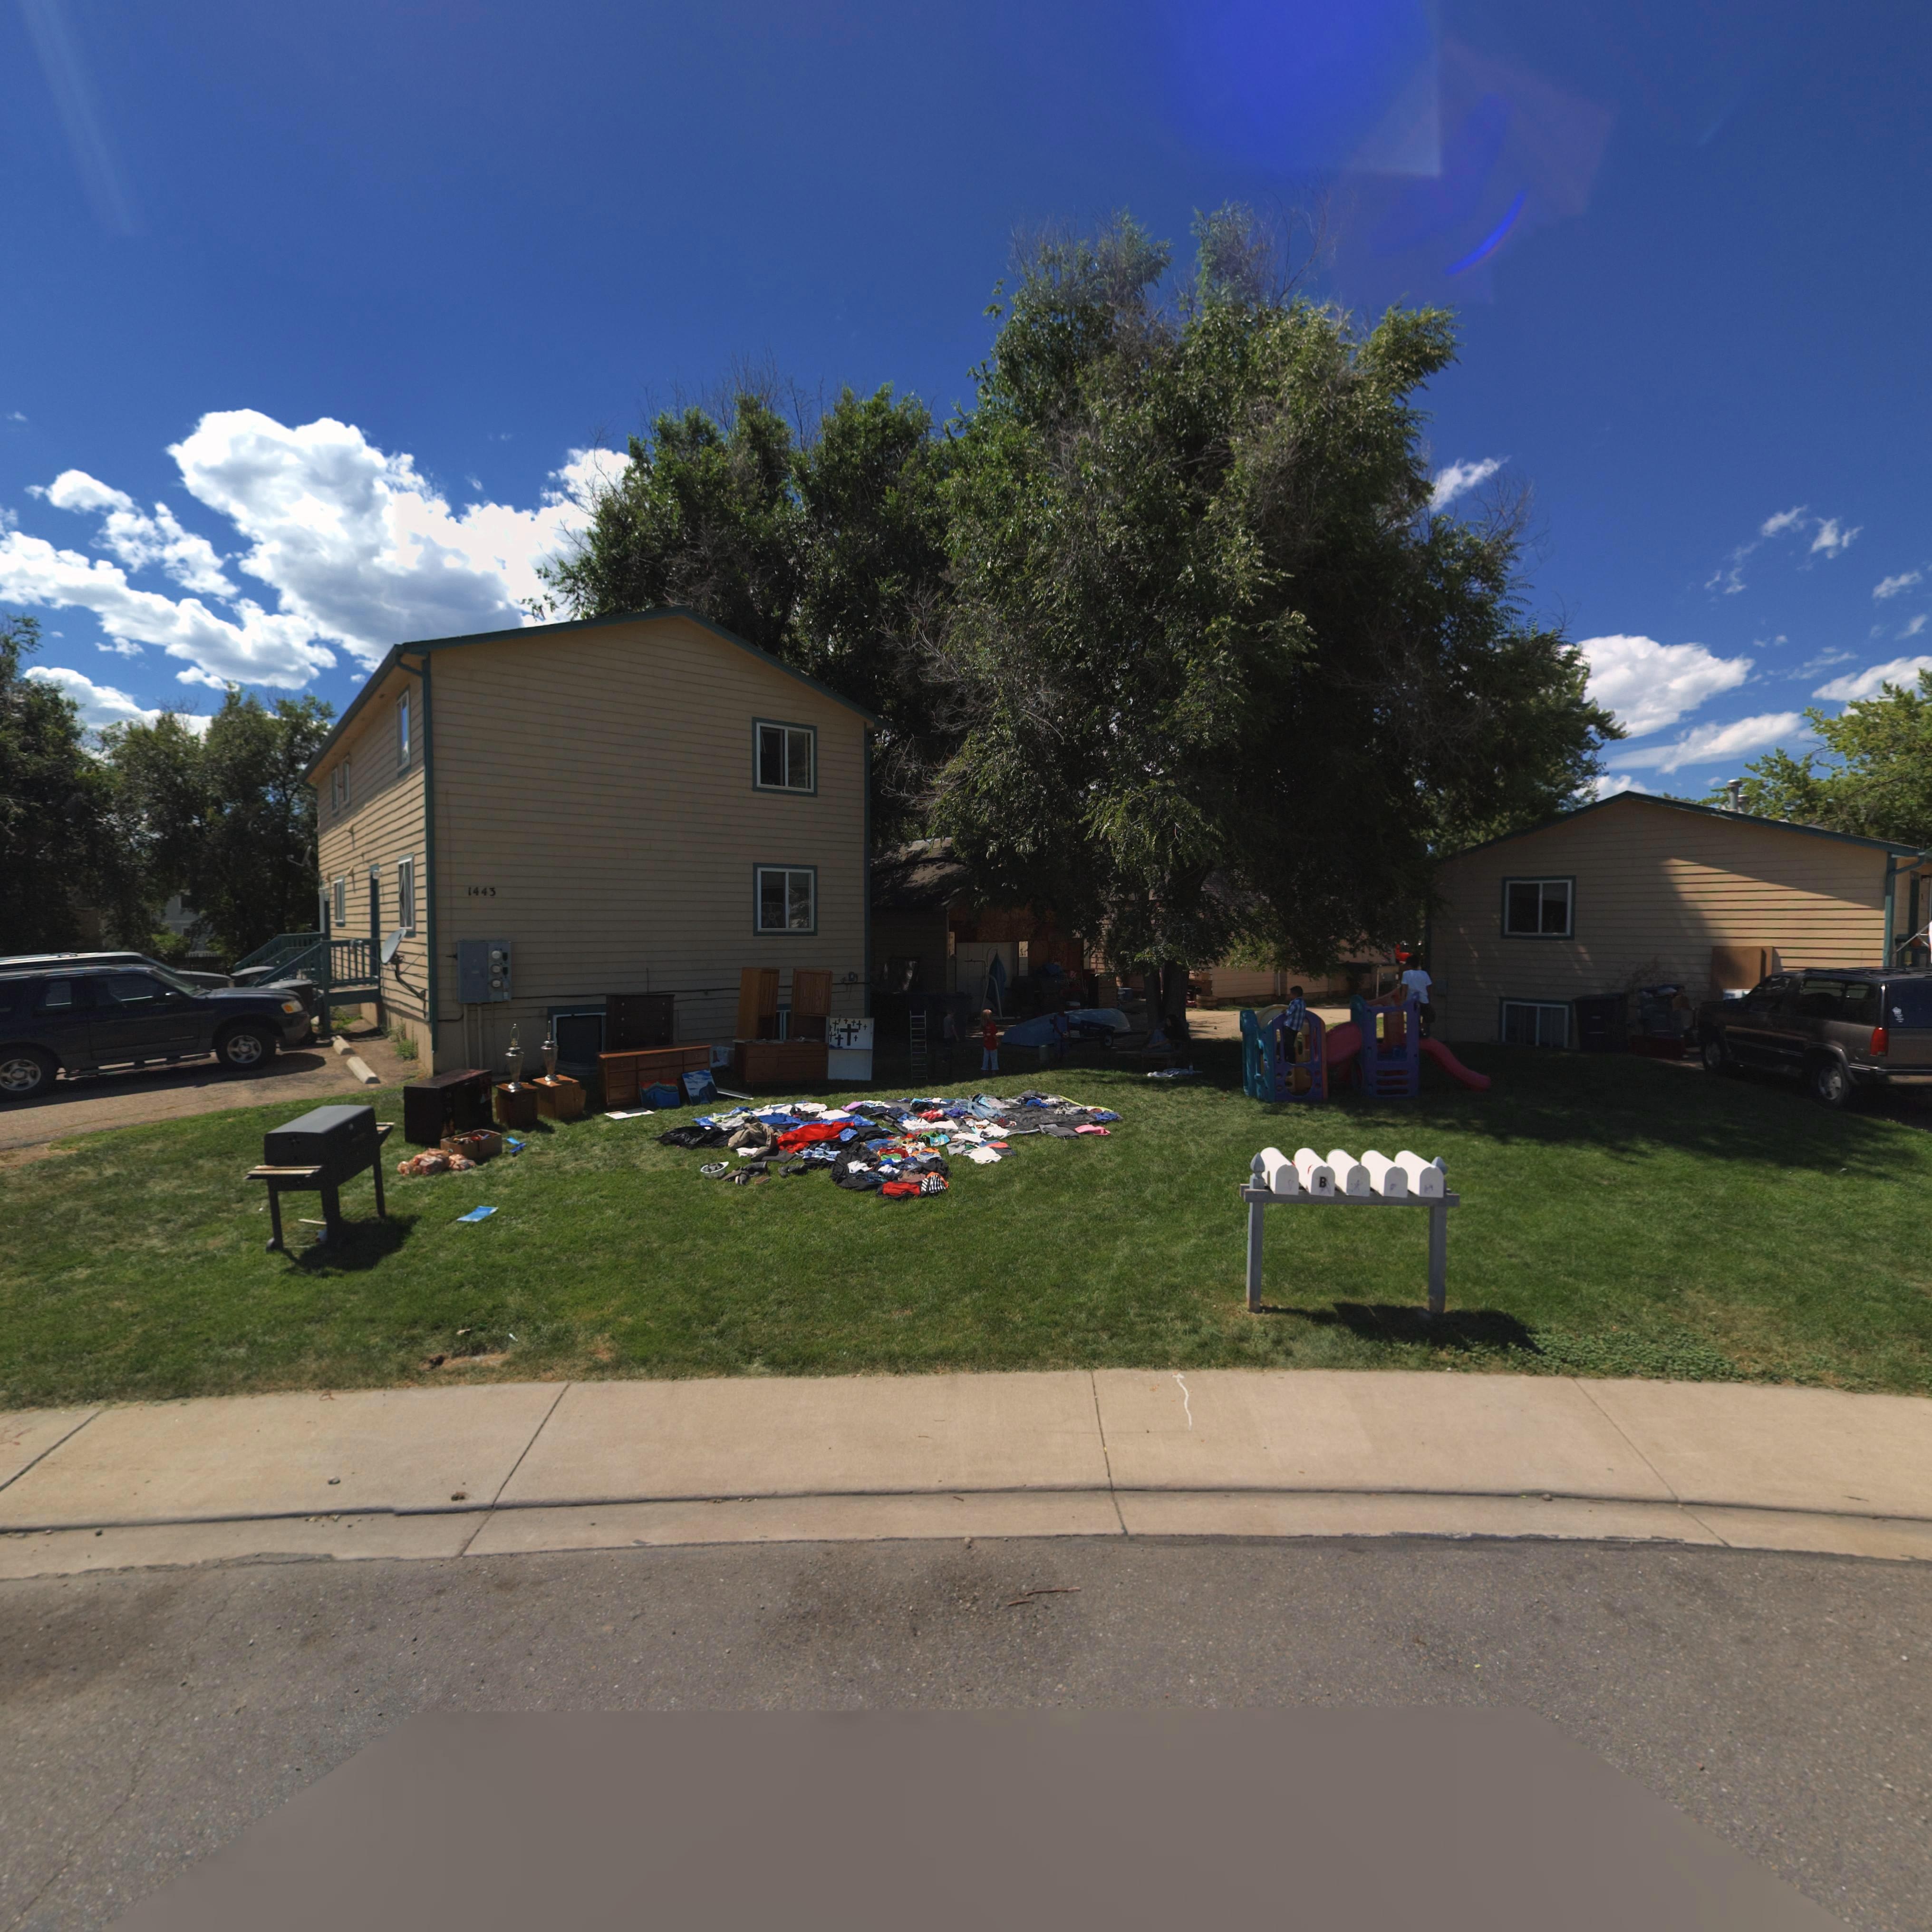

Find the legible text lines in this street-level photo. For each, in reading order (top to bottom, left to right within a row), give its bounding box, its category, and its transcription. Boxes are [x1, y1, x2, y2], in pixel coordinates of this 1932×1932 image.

[468, 886, 496, 896] StreetNumber: 1443